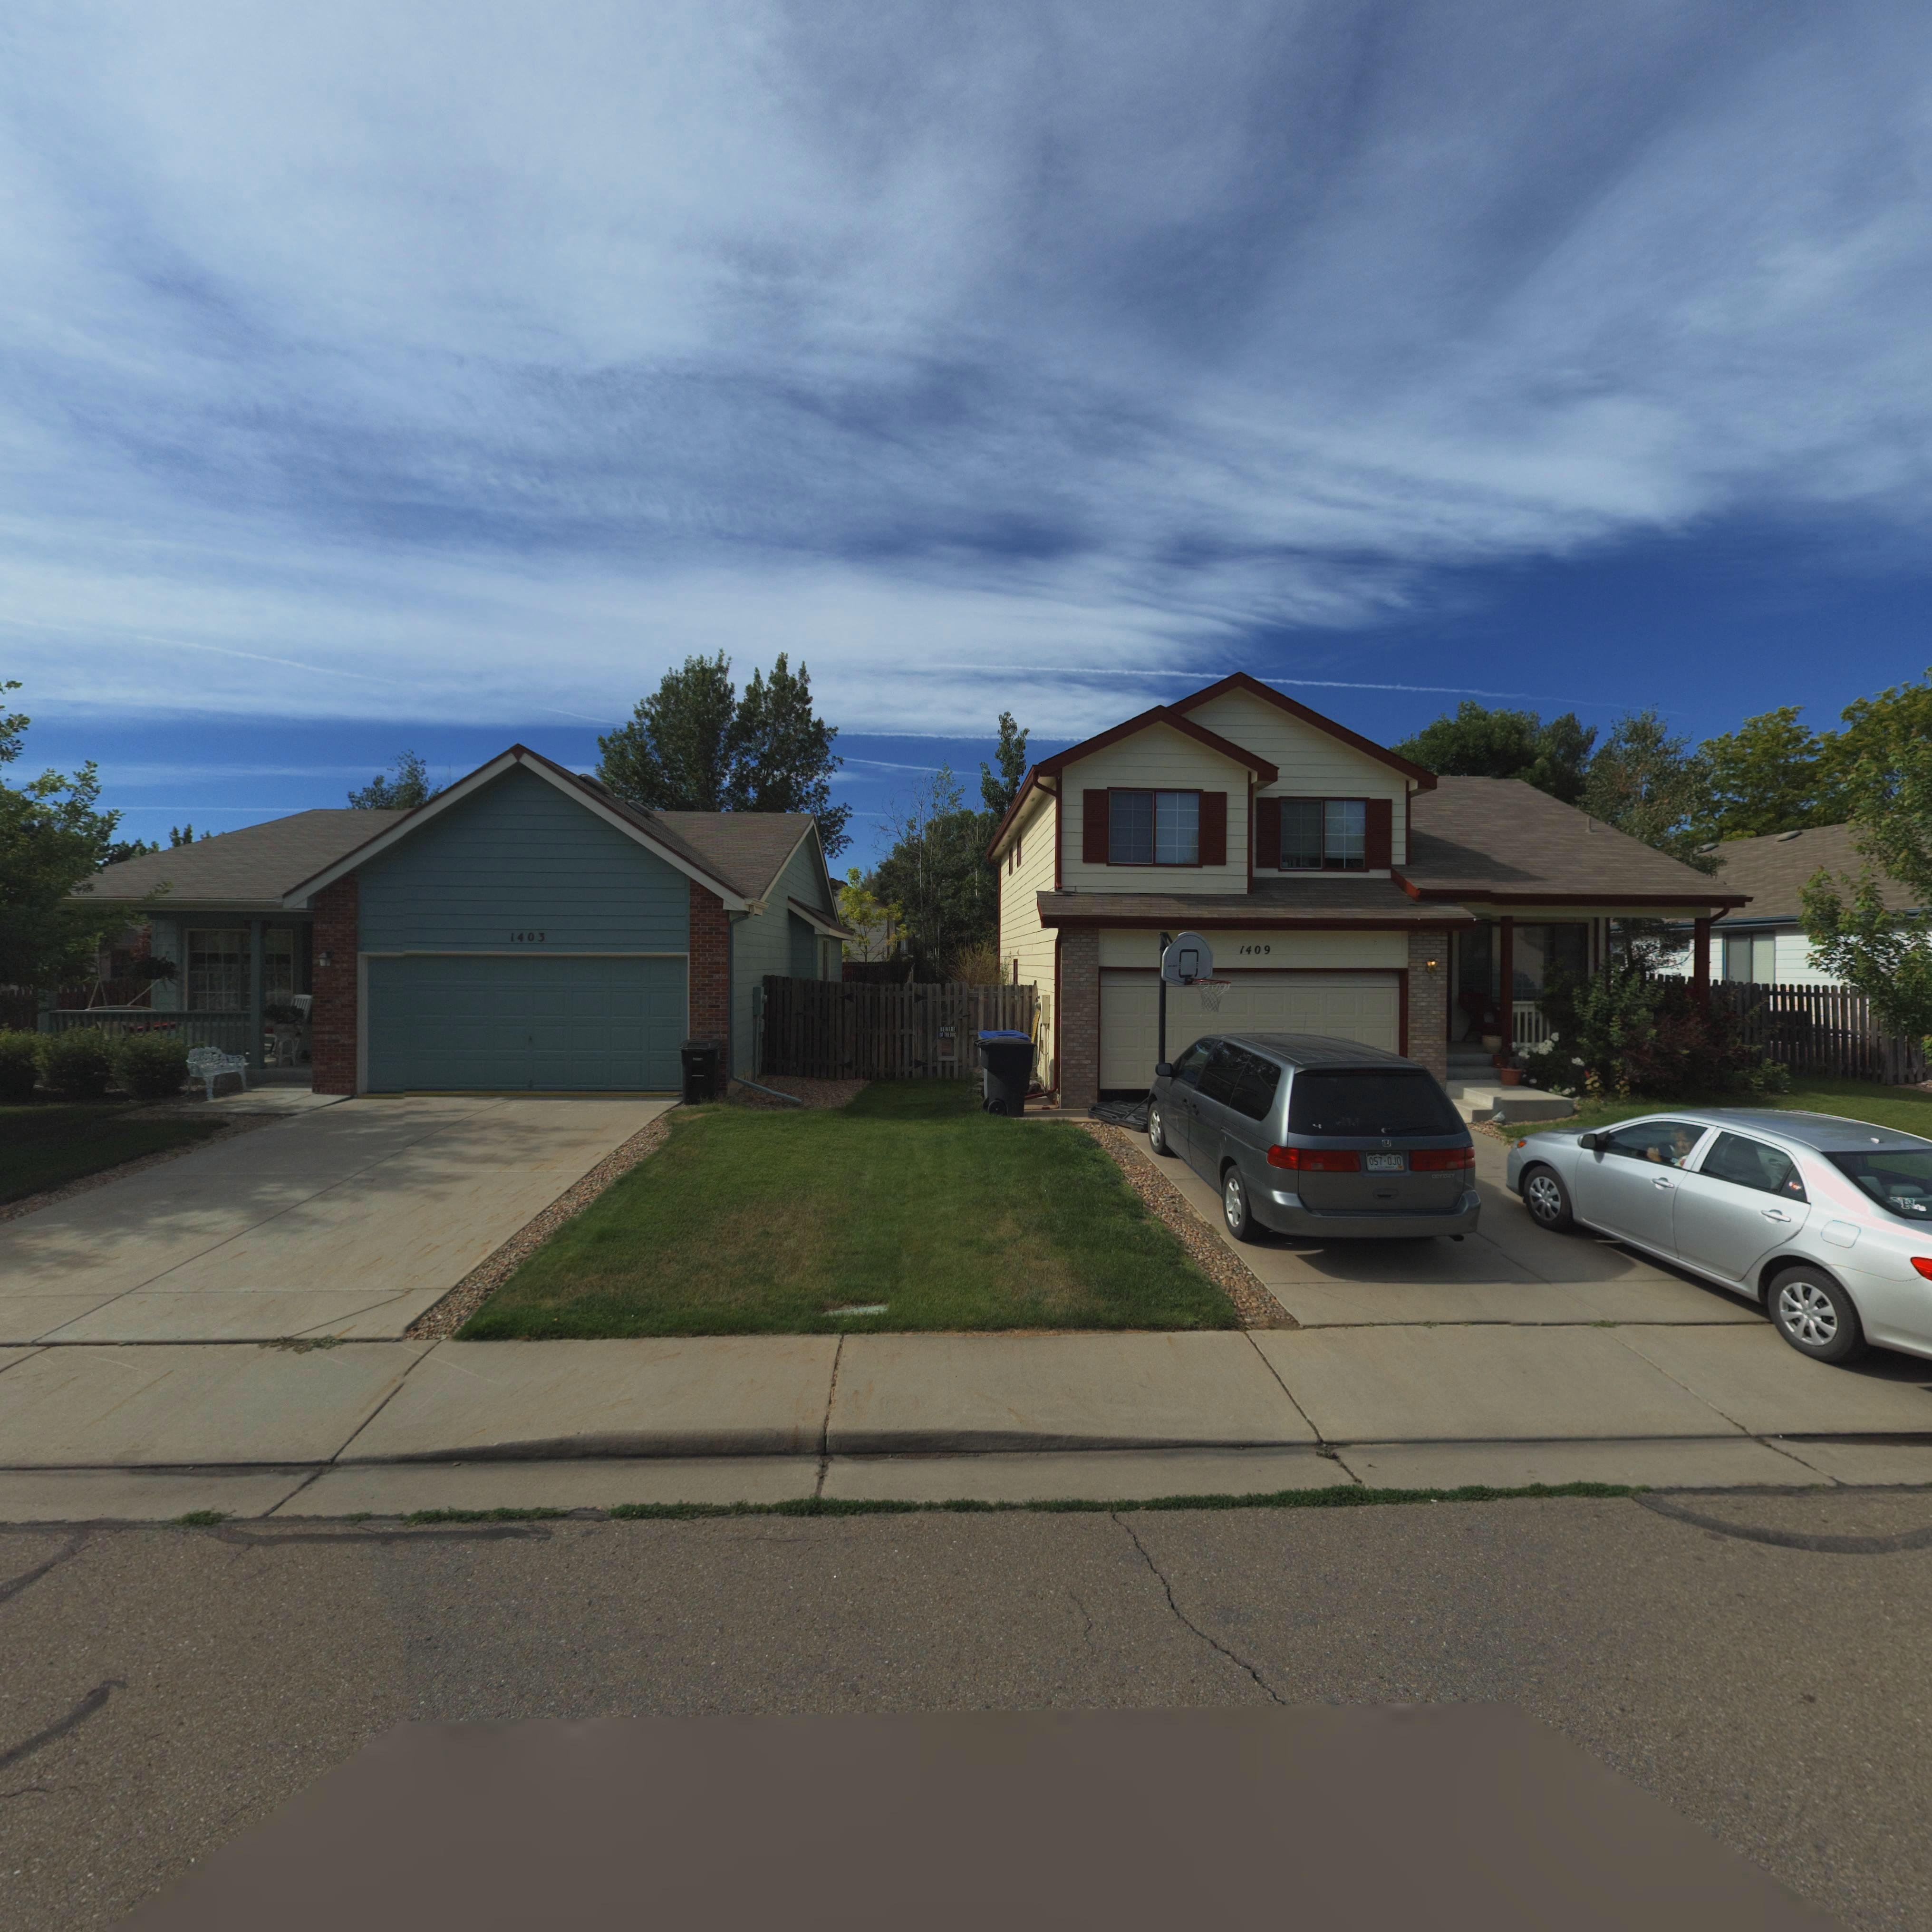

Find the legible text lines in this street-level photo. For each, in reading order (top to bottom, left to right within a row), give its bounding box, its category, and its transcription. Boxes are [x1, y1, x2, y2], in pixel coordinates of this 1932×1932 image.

[510, 931, 545, 942] StreetNumber: 1403
[1239, 944, 1270, 955] StreetNumber: 1409